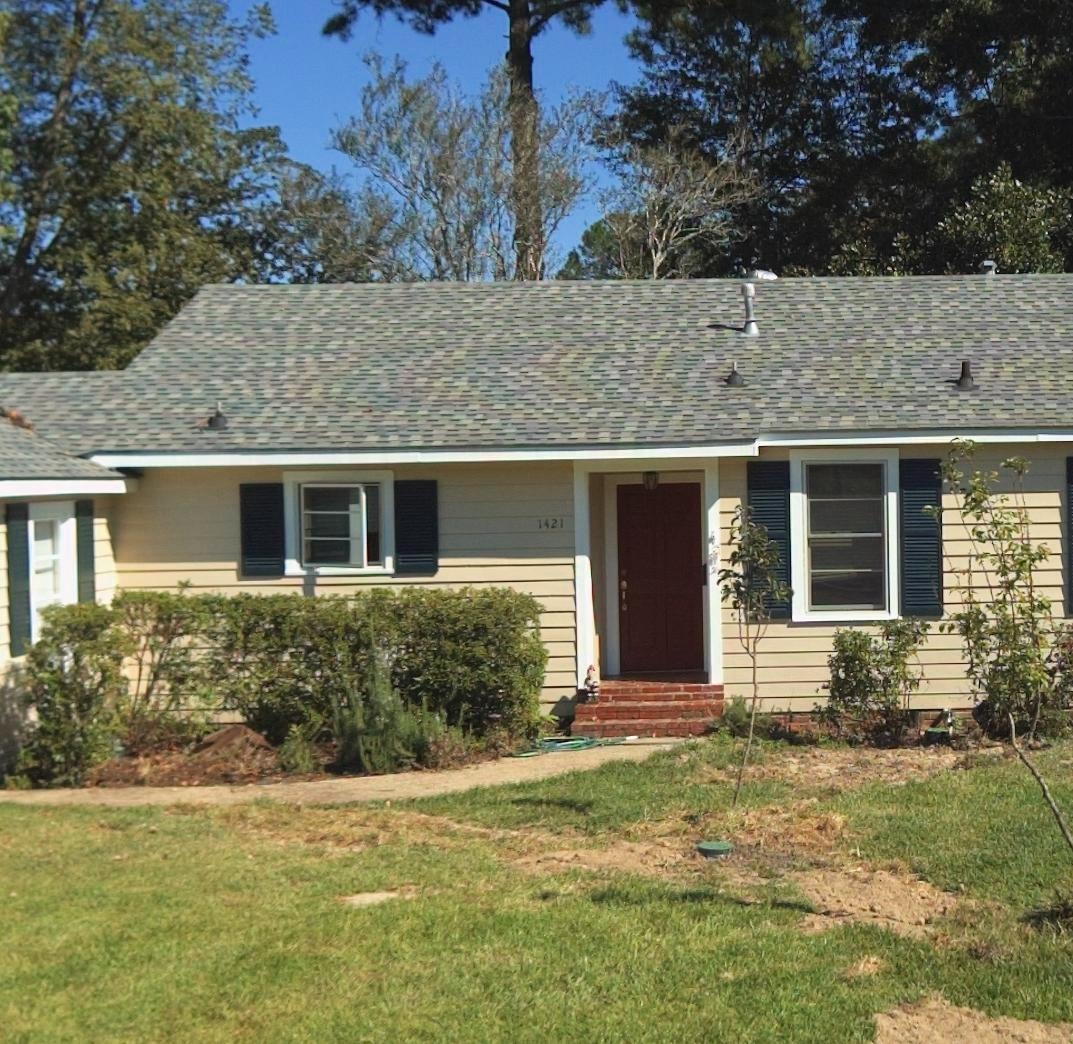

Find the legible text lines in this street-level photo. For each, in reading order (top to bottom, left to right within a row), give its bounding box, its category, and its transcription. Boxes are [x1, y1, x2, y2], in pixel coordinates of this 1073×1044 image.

[537, 516, 565, 531] StreetNumber: 1421